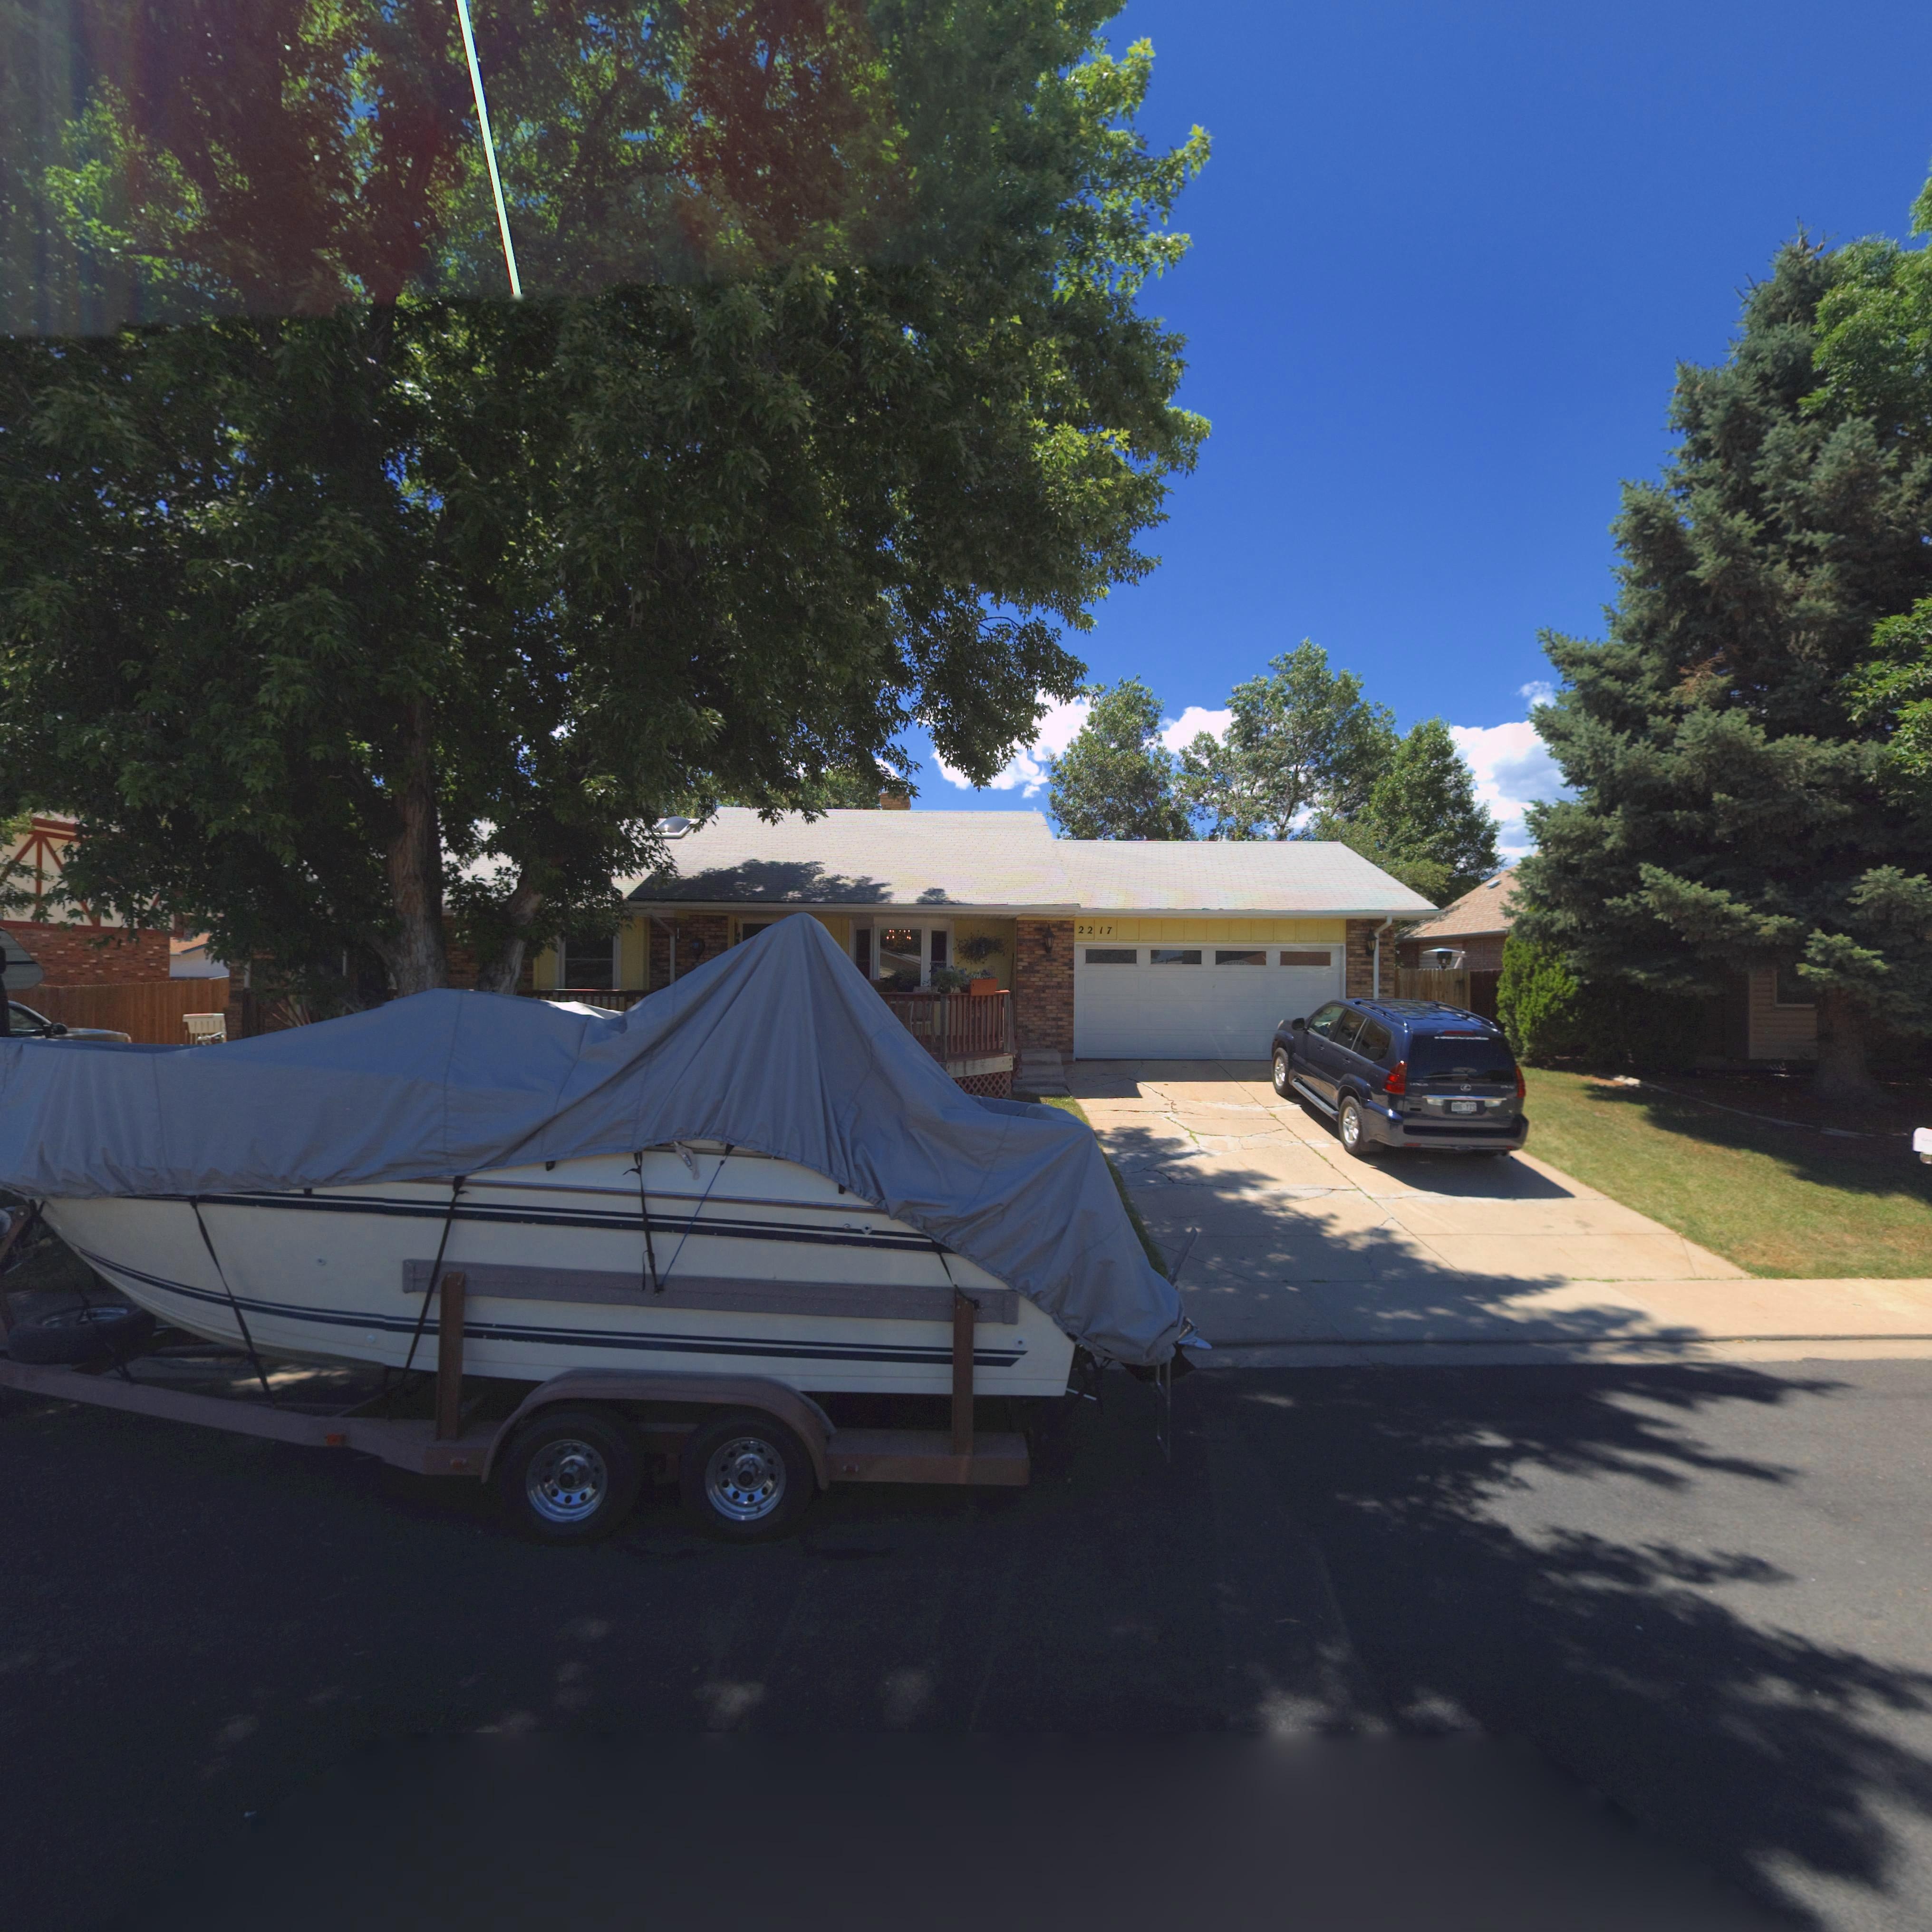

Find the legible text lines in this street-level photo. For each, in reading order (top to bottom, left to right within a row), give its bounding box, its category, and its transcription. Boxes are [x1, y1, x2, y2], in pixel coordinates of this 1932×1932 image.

[1078, 926, 1112, 935] StreetNumber: 2217